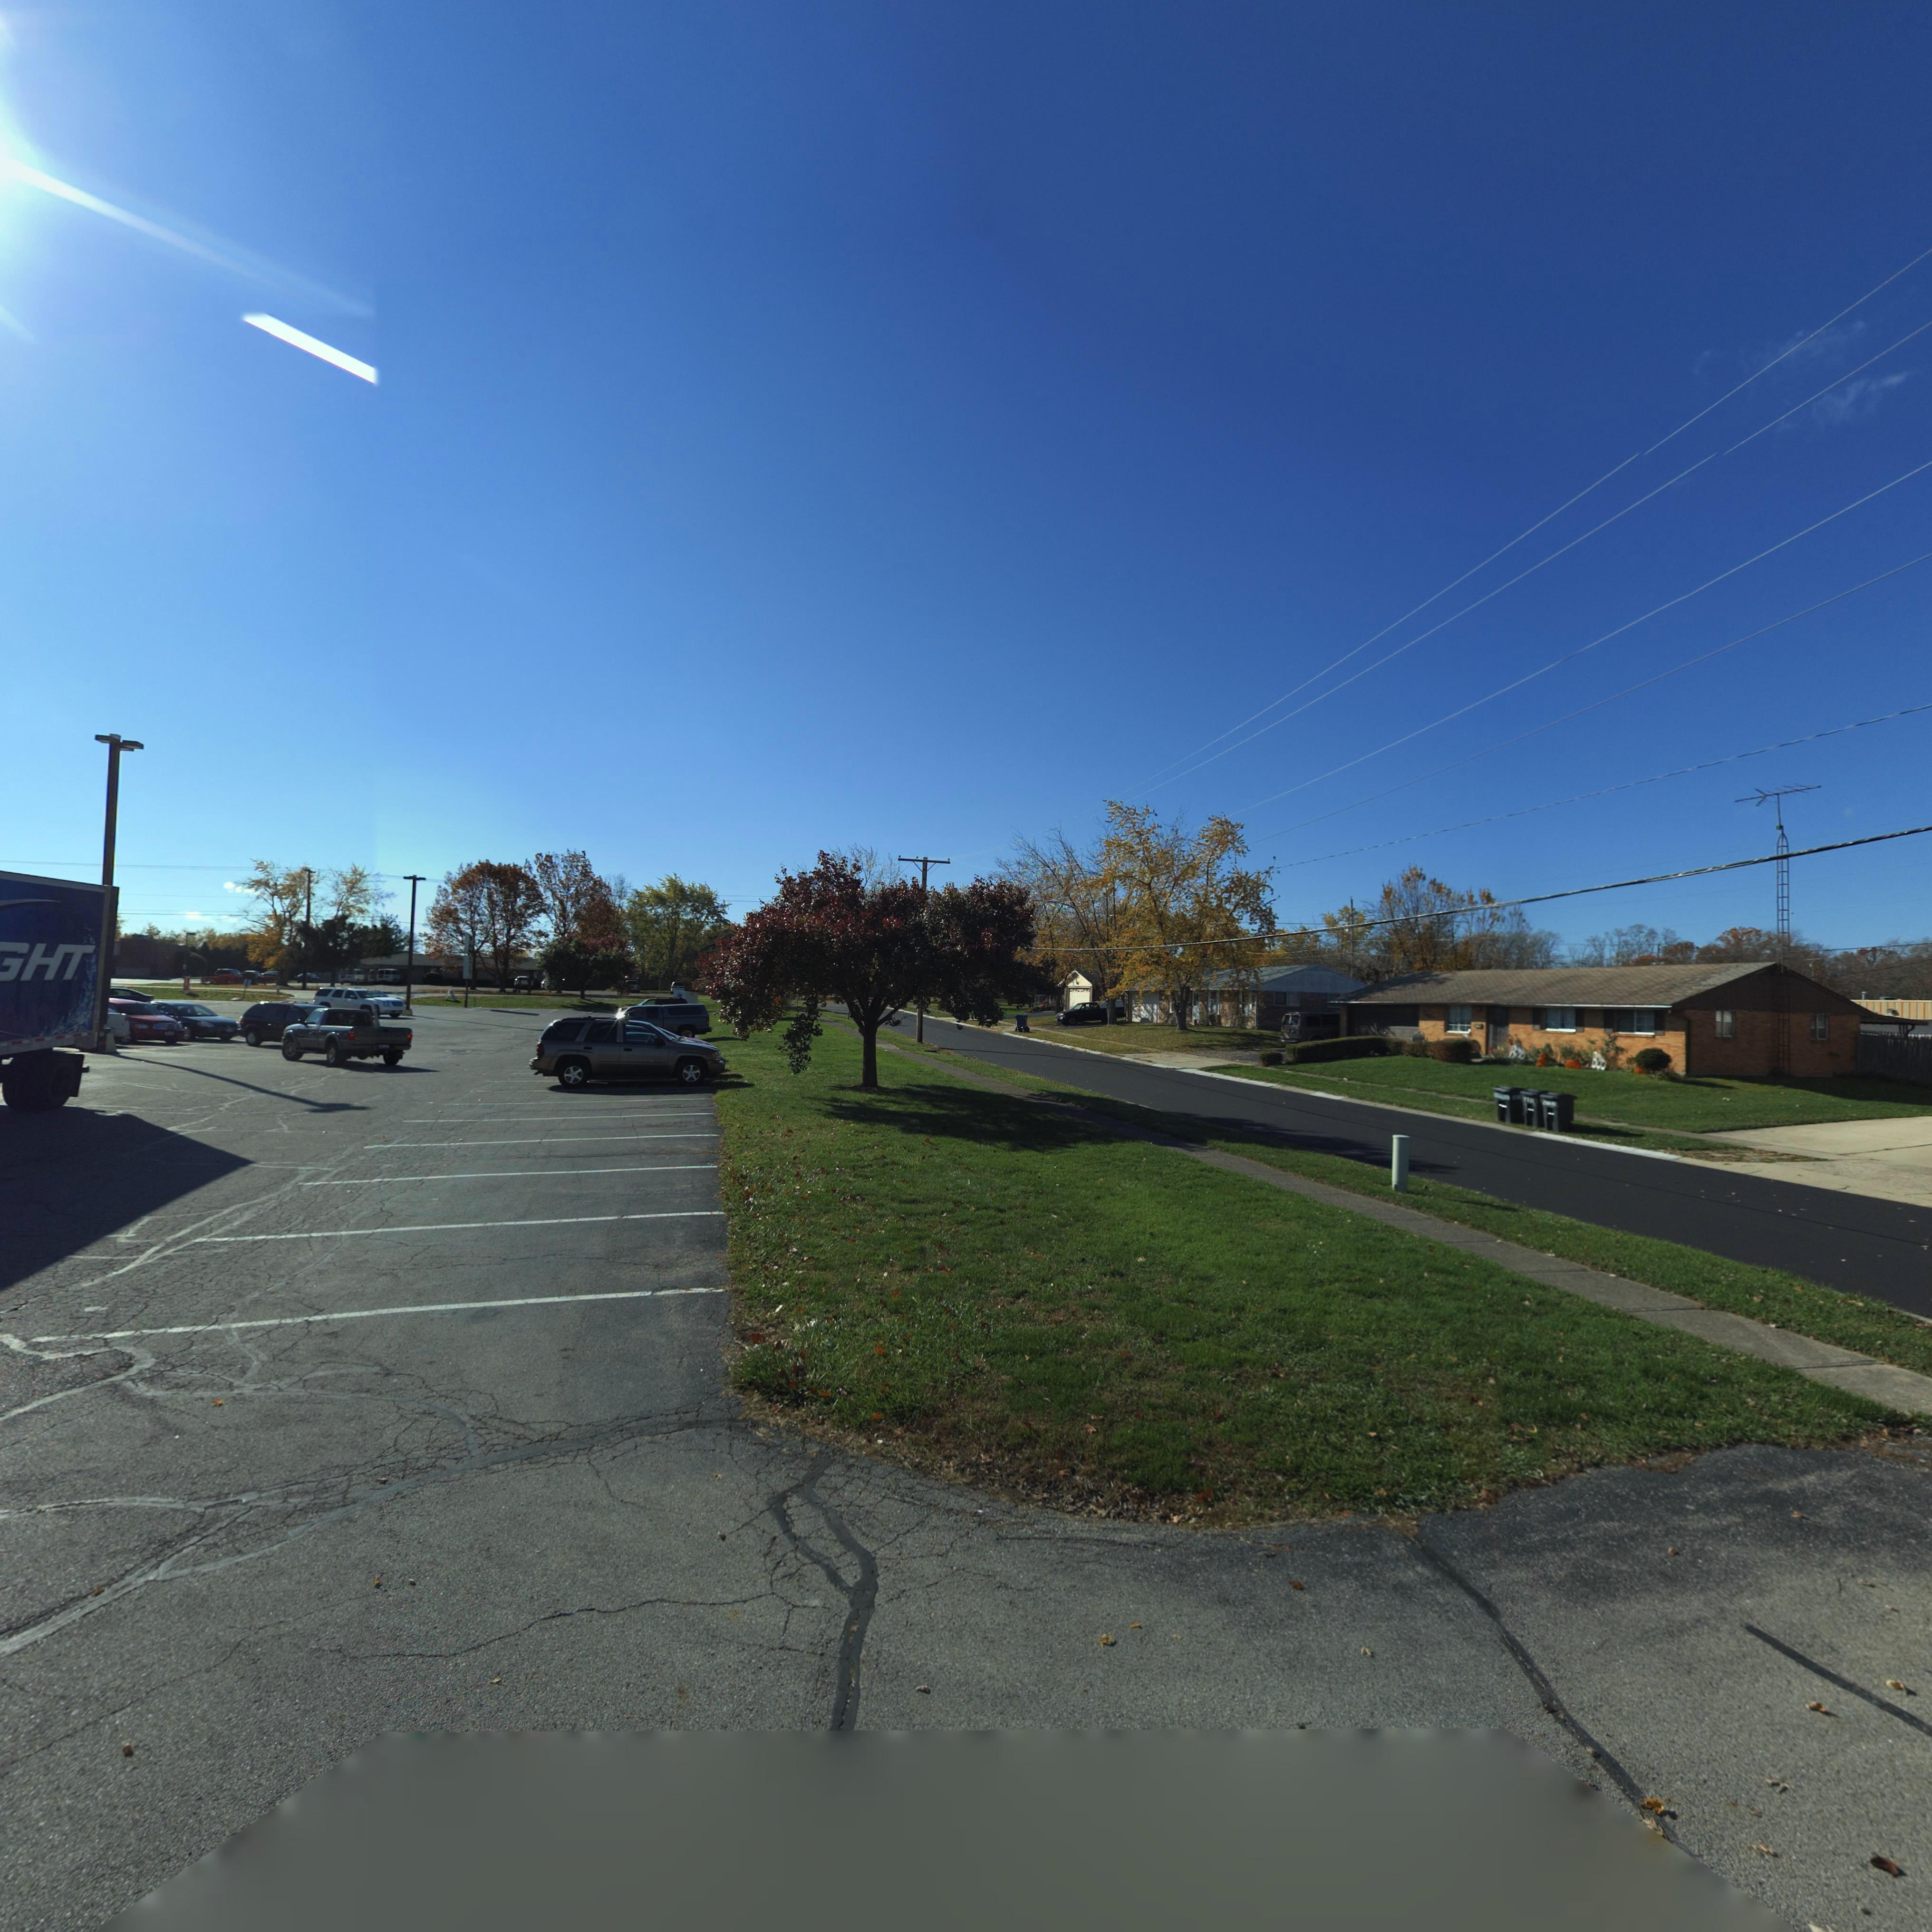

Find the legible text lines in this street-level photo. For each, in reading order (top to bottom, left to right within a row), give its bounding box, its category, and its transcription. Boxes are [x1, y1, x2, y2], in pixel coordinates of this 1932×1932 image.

[1523, 1096, 1527, 1102] StreetNumber: 7